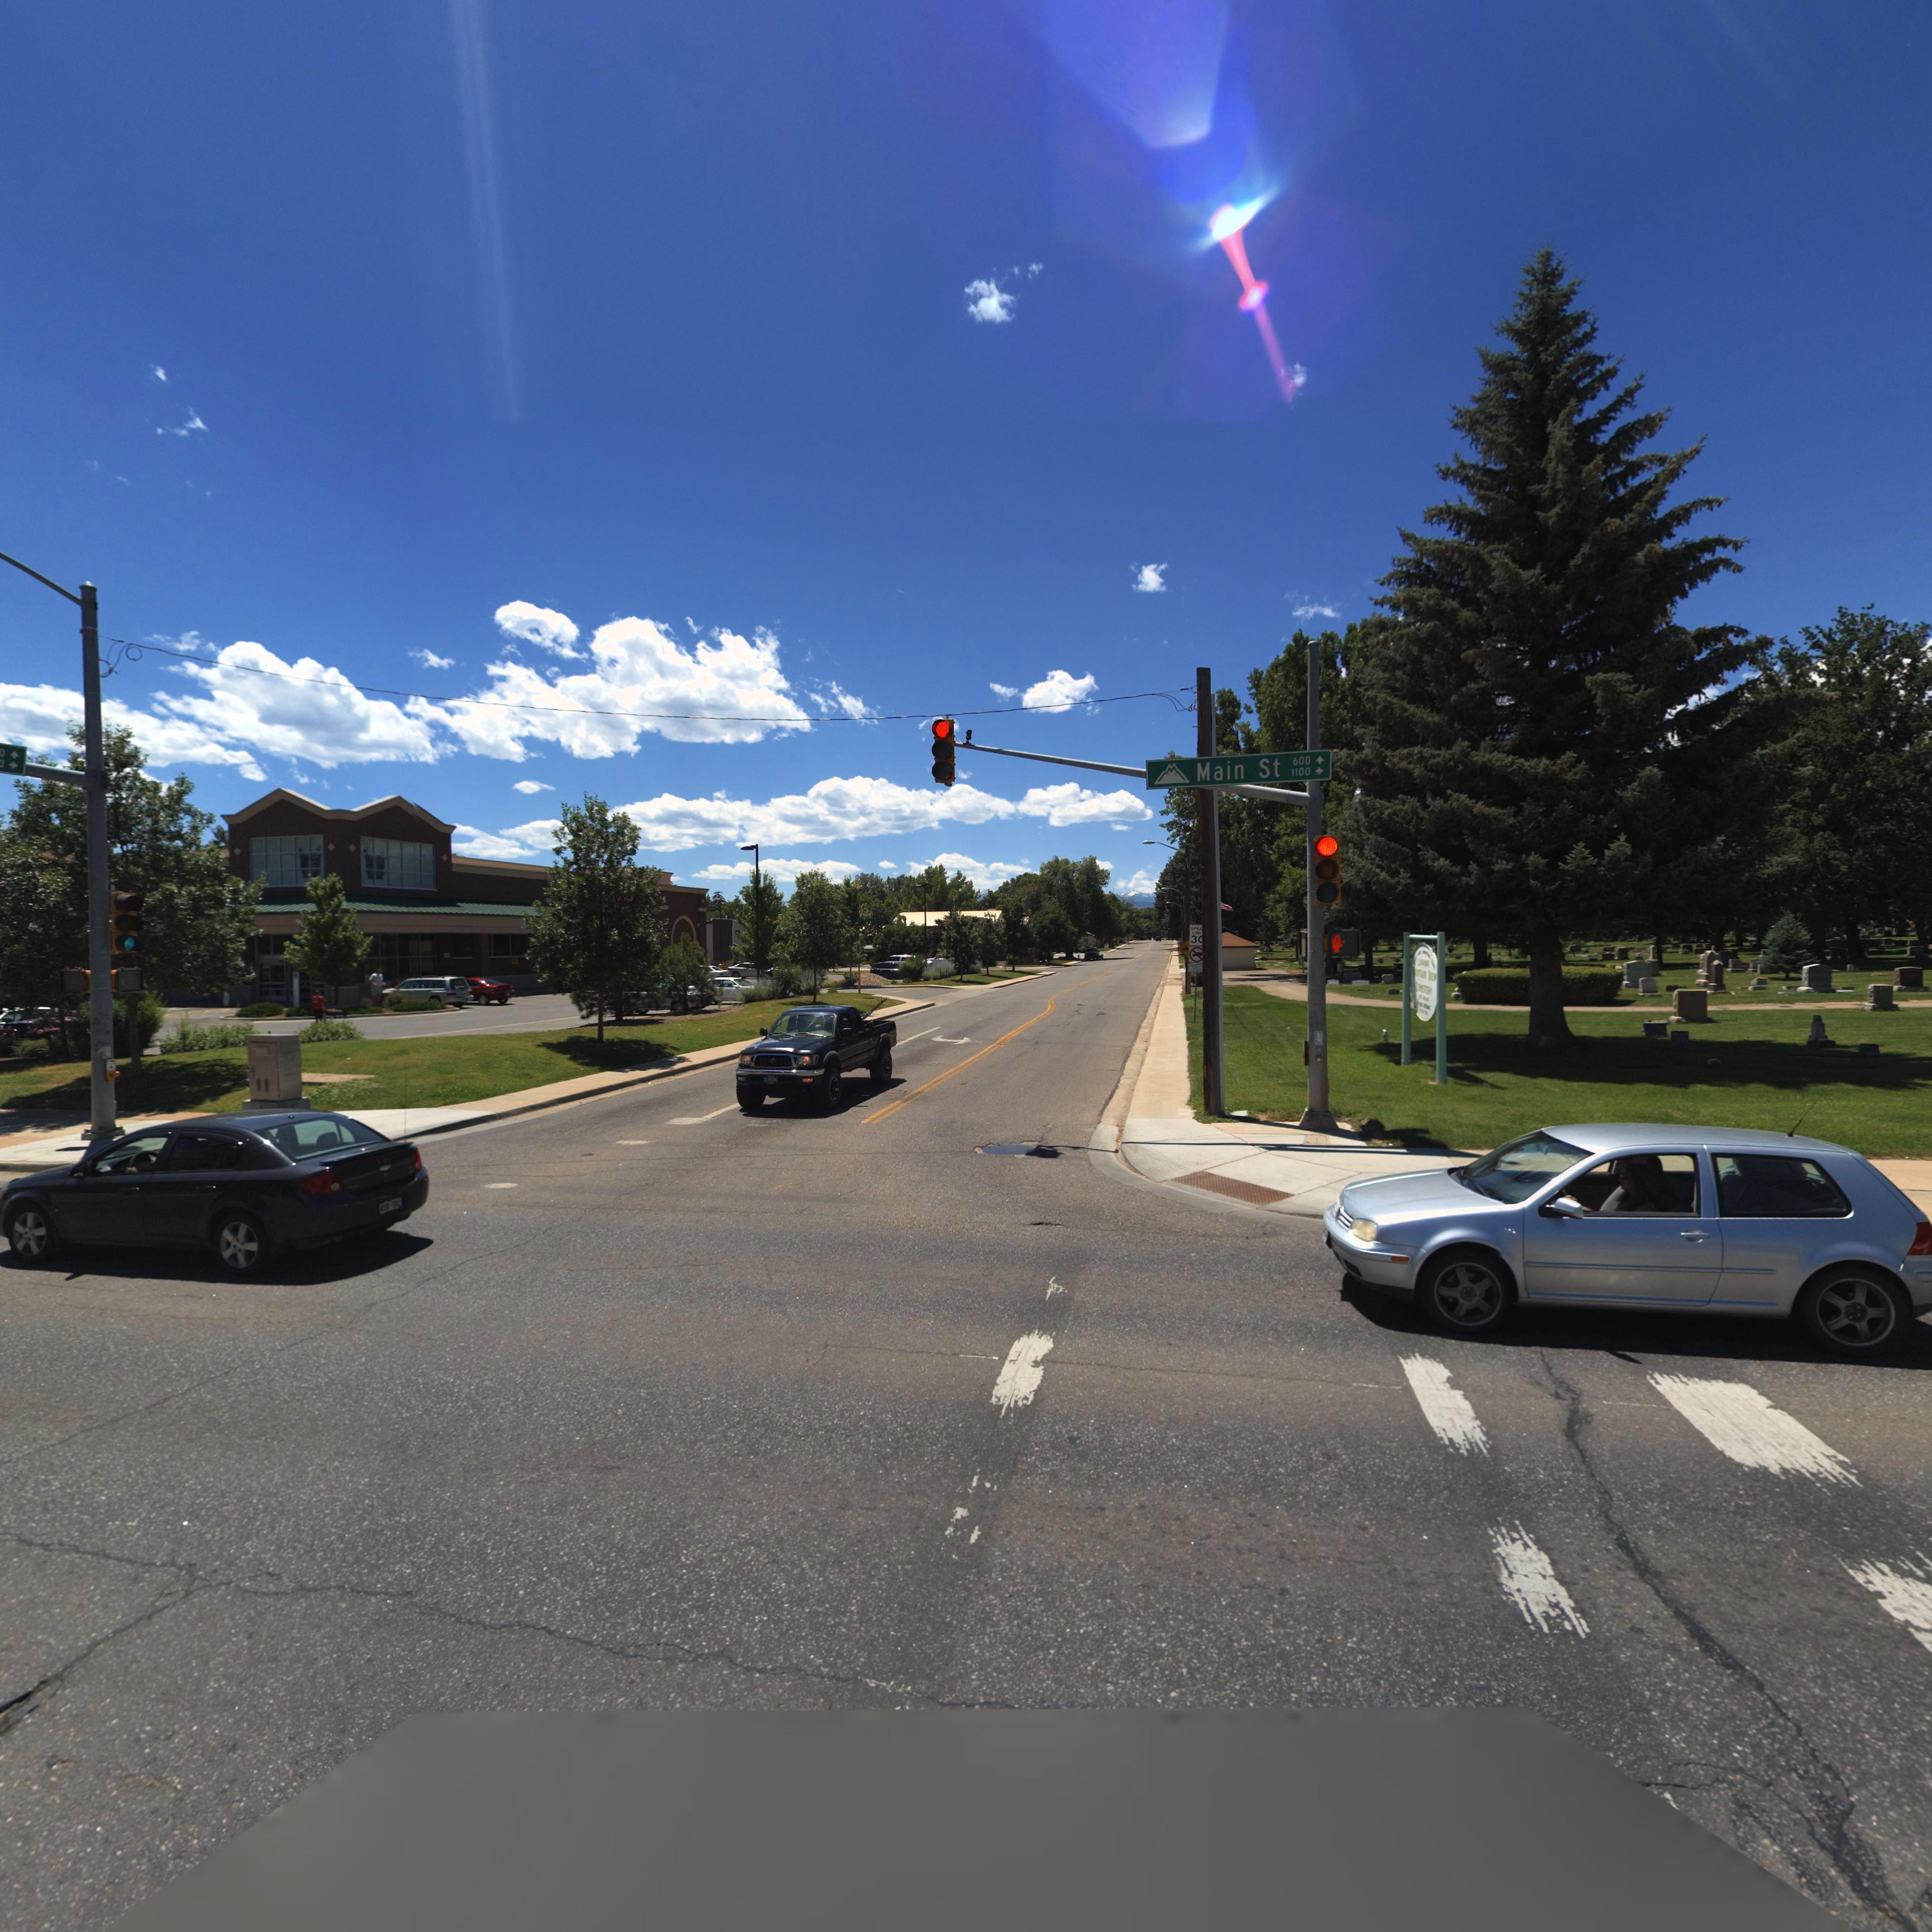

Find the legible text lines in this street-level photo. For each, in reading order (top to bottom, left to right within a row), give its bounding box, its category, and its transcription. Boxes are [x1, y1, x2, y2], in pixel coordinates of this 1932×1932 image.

[1292, 755, 1312, 765] StreetName: 600
[1196, 757, 1281, 782] StreetName: Main St
[1291, 766, 1324, 777] StreetNumberRange: 1100->
[1417, 958, 1430, 967] BusinessName: LO*****T
[1427, 969, 1436, 982] BusinessName: *IE*
[1415, 980, 1432, 995] BusinessName: CEMETERY